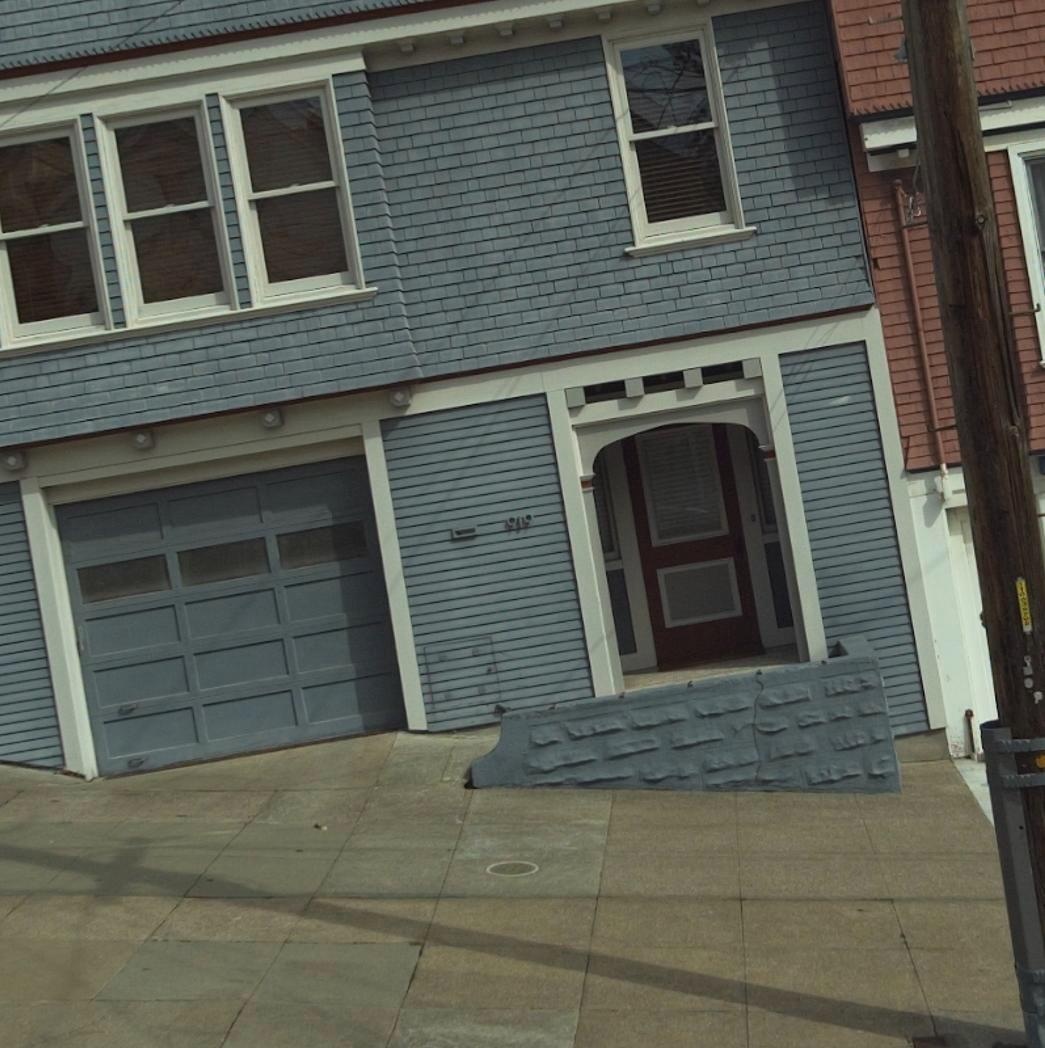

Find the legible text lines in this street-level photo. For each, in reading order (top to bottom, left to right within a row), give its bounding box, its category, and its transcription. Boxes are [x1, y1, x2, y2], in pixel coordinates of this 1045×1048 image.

[505, 512, 535, 533] StreetNumber: 919